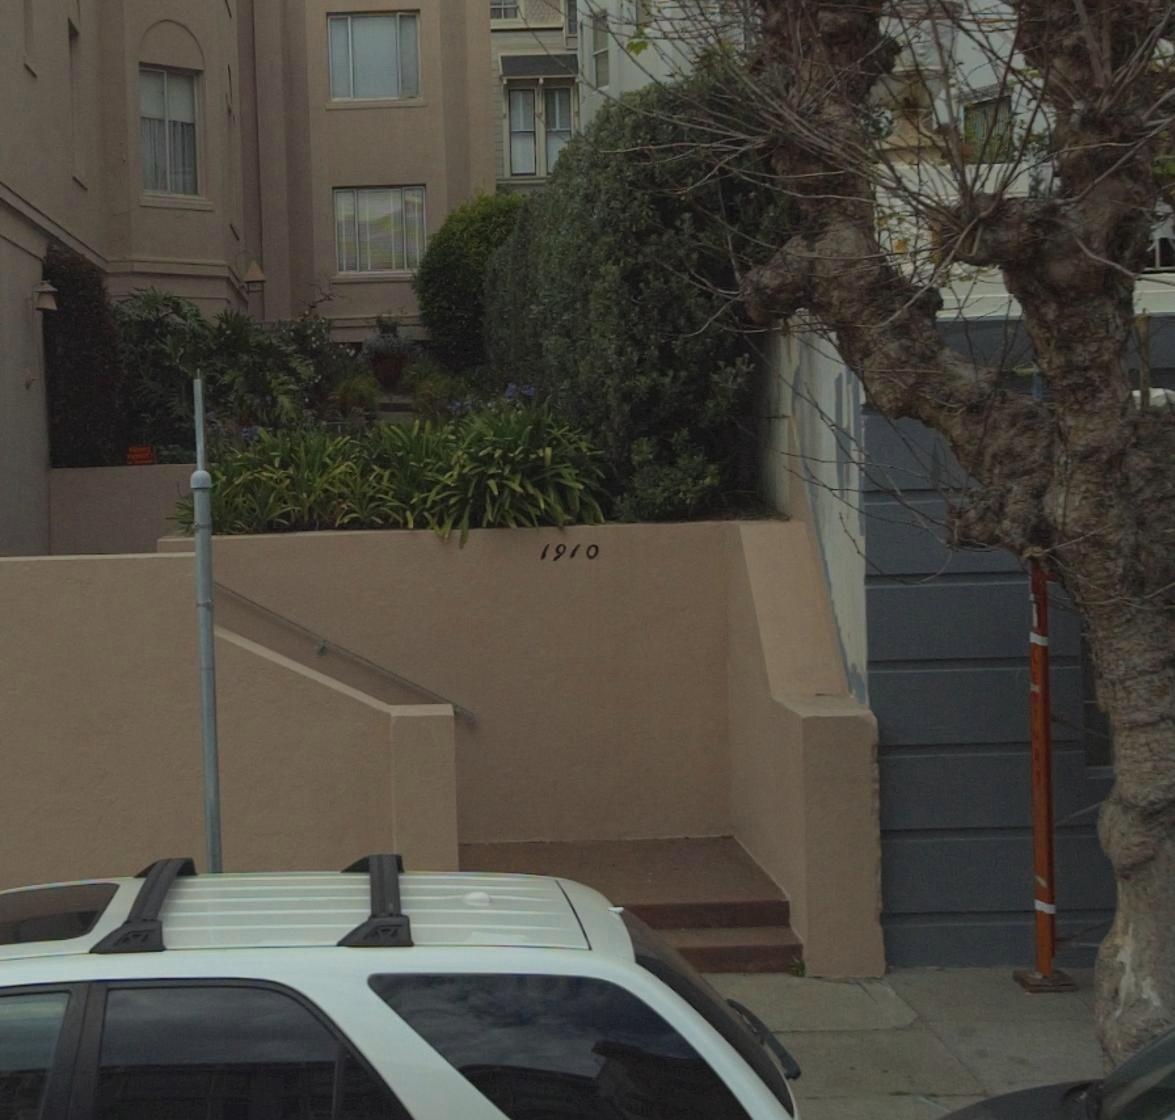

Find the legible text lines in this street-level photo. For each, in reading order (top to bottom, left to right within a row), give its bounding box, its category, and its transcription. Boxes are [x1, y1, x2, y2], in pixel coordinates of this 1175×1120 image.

[539, 541, 600, 563] StreetNumber: 1910